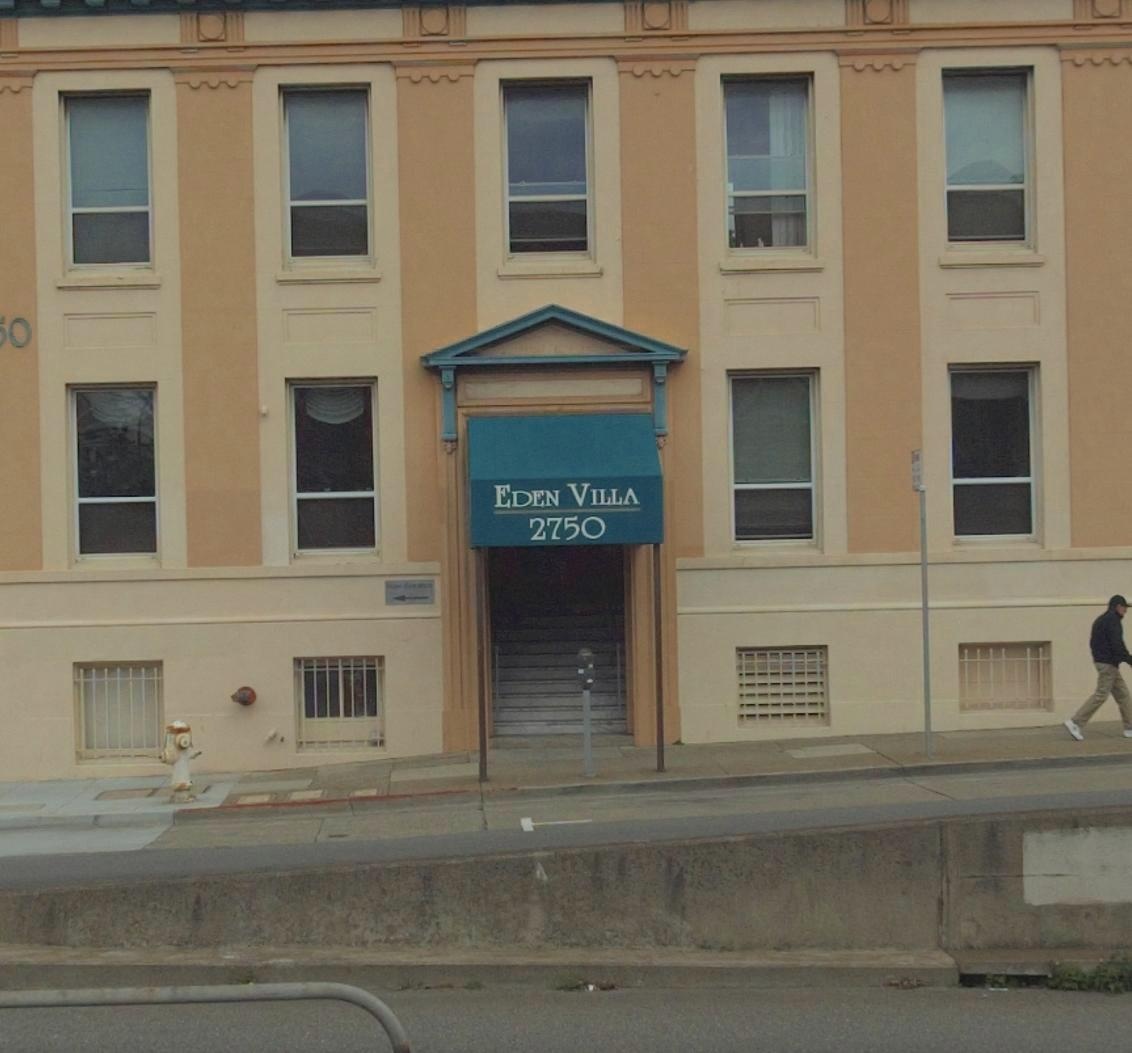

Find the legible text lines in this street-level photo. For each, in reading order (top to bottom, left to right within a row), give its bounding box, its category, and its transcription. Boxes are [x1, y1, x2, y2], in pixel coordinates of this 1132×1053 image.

[491, 481, 644, 509] BusinessName: EDEN VILLA
[528, 513, 610, 543] StreetNumber: 2750